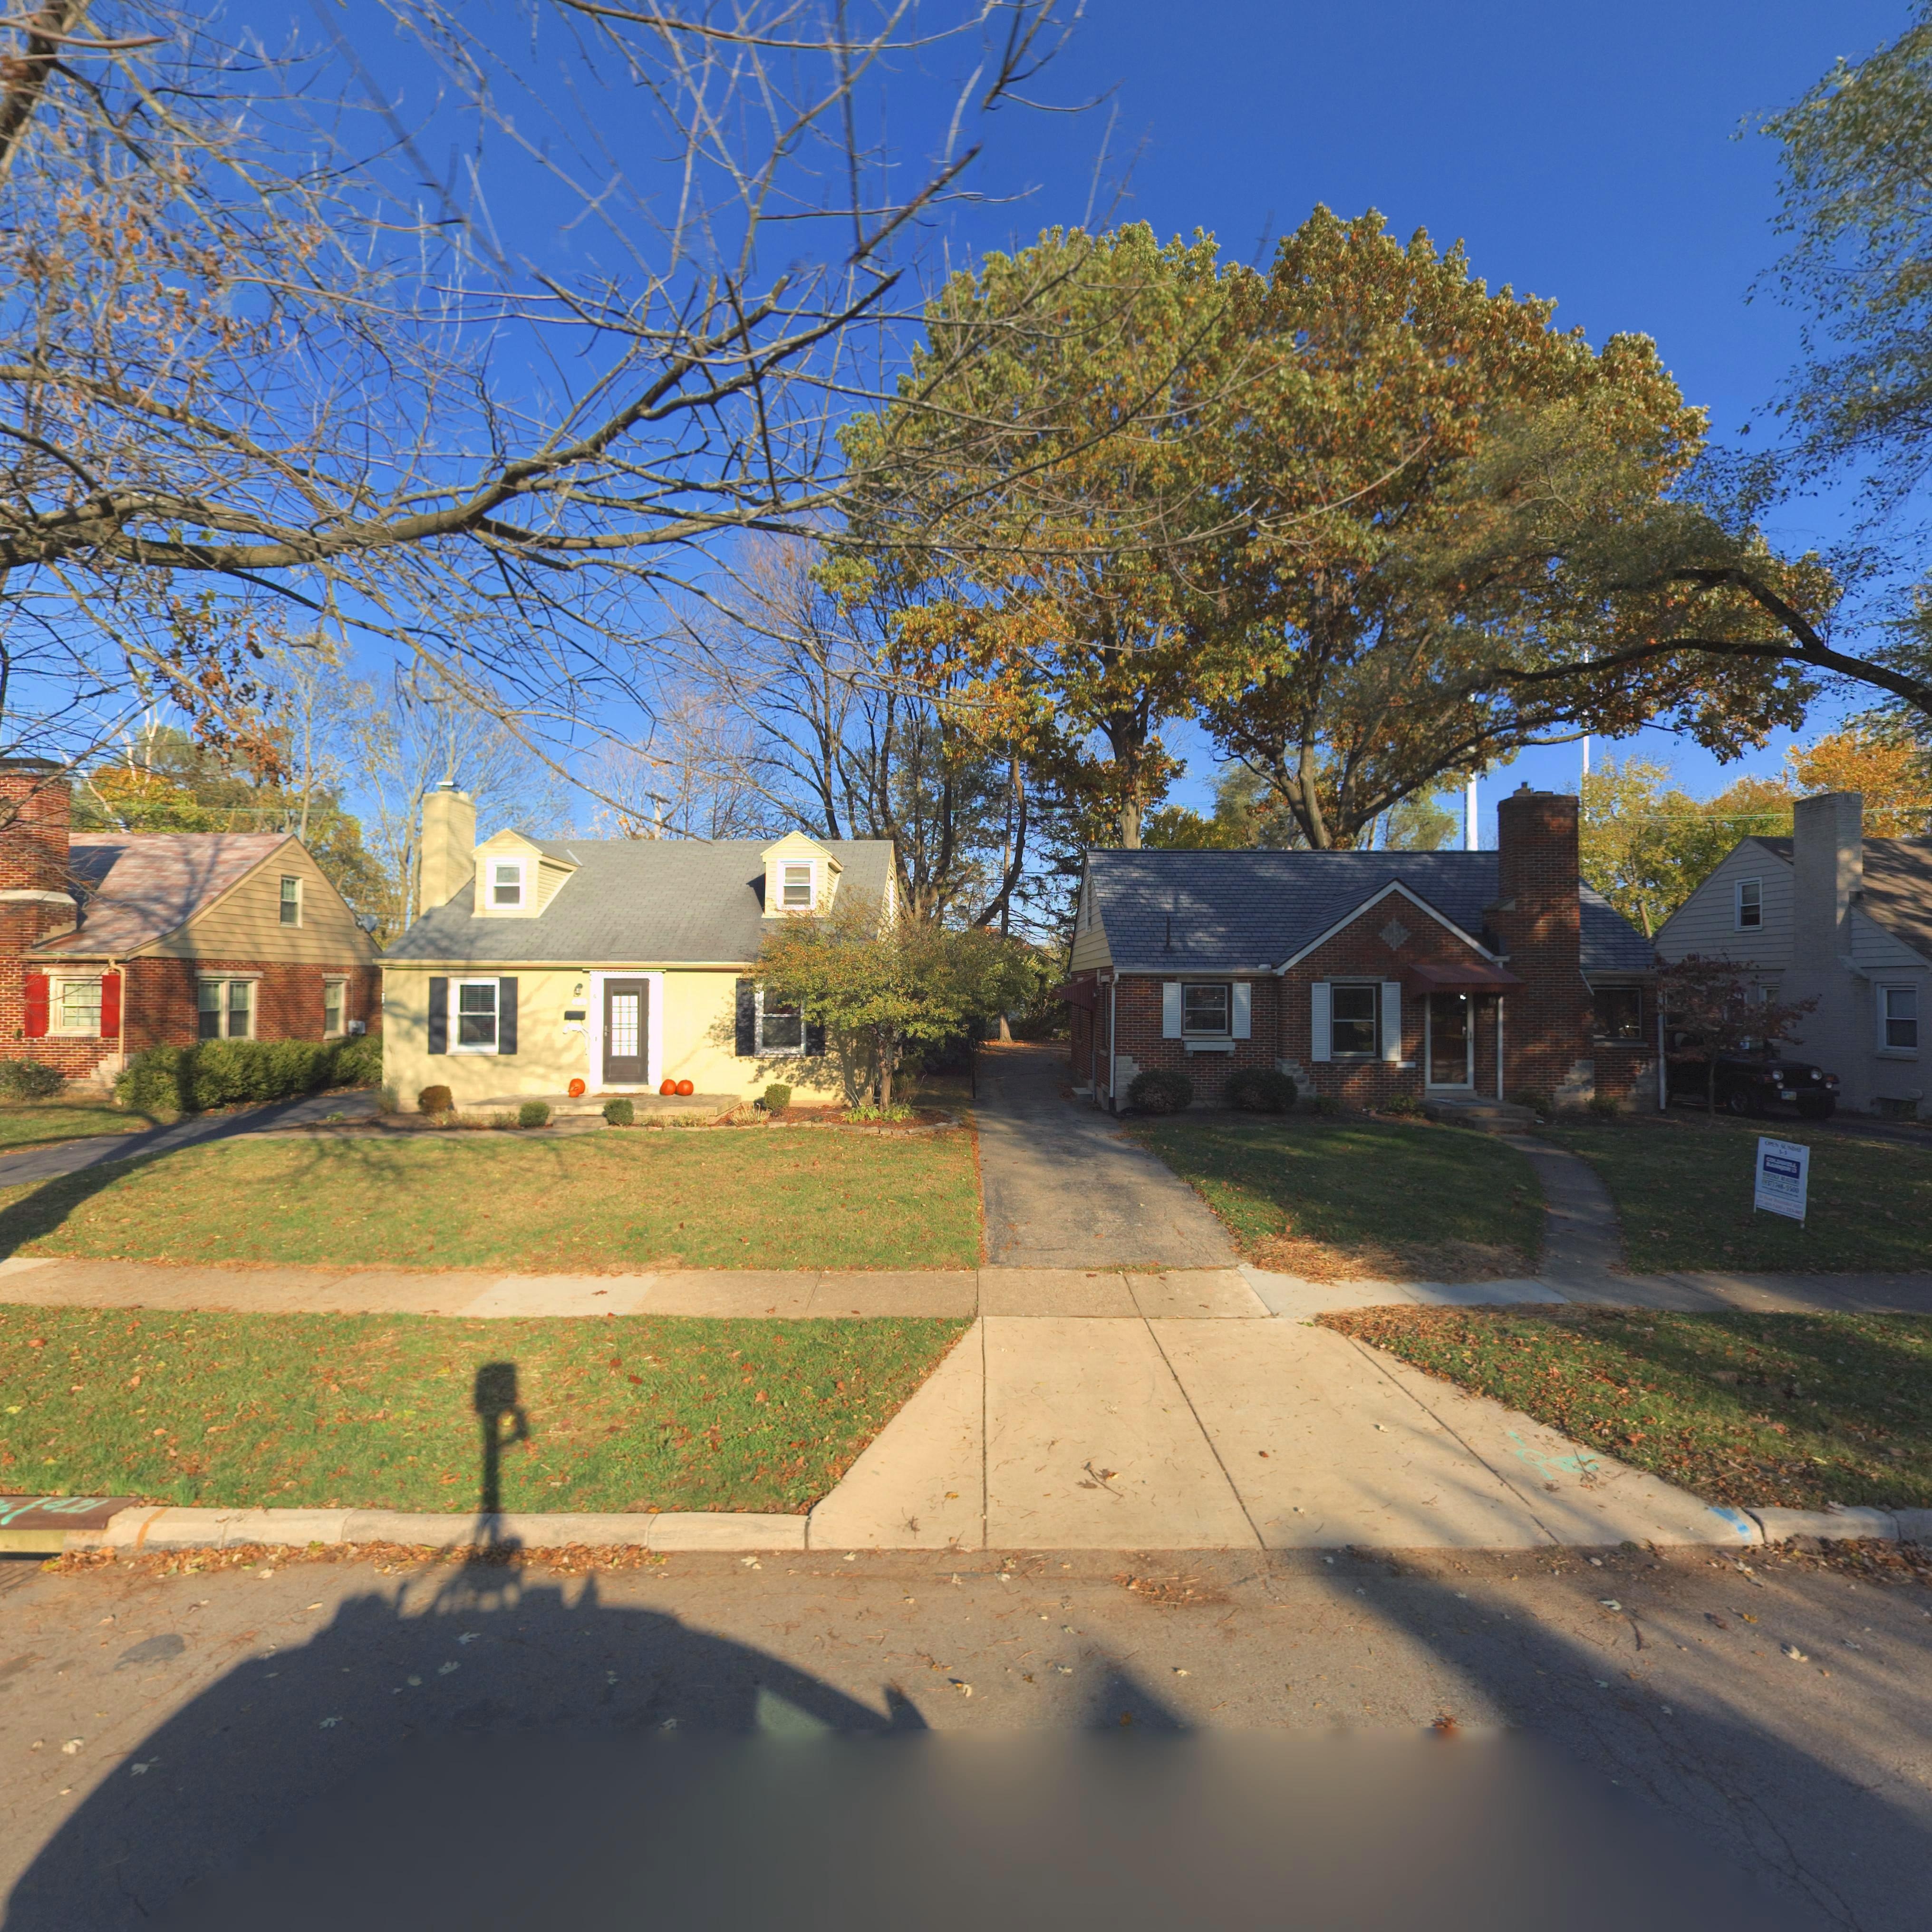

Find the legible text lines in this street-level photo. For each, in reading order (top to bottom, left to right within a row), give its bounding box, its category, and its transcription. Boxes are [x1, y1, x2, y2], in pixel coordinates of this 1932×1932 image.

[1479, 1006, 1493, 1013] StreetNumber: 820